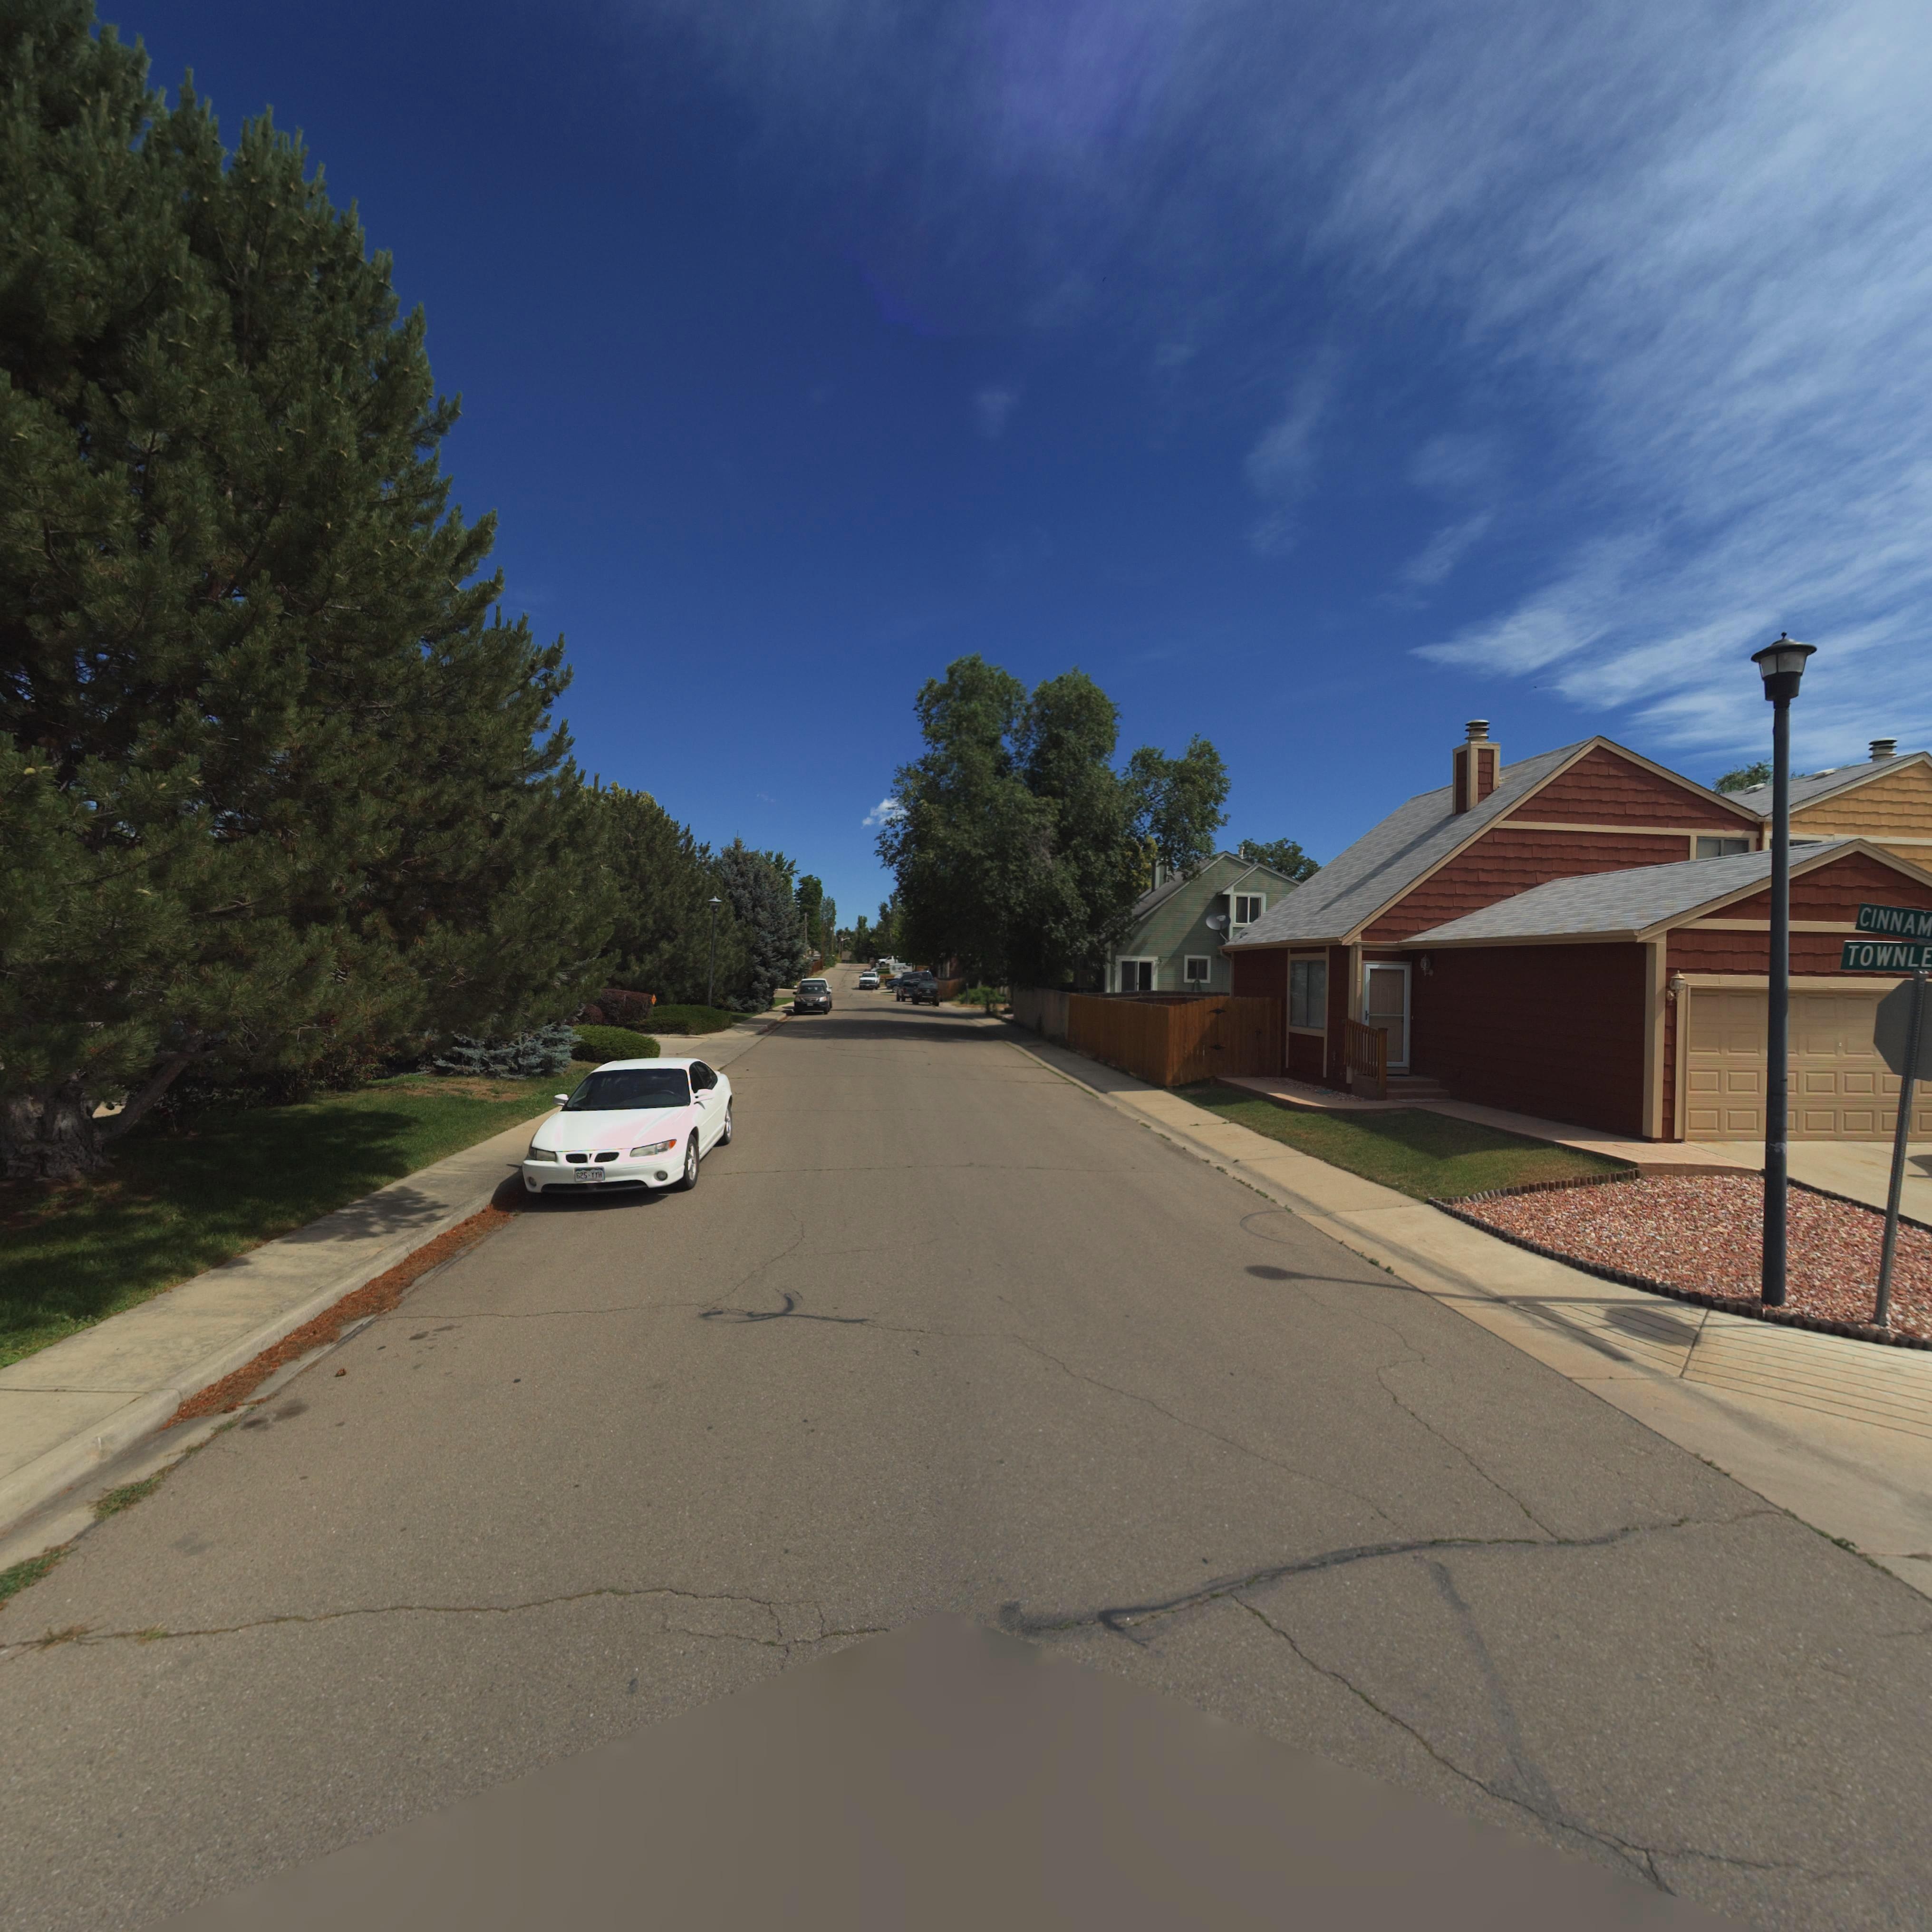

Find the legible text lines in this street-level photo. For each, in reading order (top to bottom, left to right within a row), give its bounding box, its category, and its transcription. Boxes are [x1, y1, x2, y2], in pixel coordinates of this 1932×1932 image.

[1858, 906, 1914, 935] StreetName: CINNA
[1848, 945, 1919, 967] StreetName: TOWNL